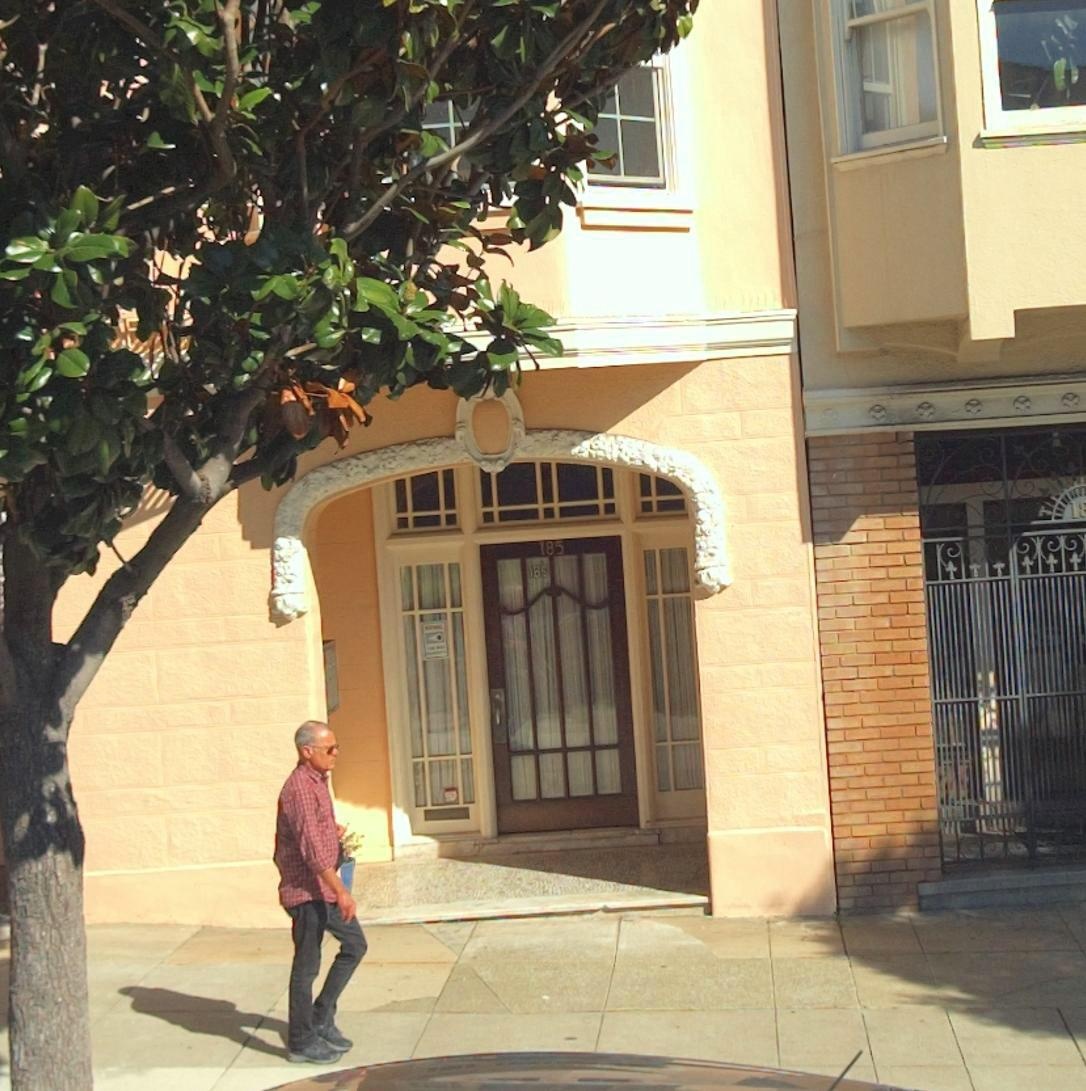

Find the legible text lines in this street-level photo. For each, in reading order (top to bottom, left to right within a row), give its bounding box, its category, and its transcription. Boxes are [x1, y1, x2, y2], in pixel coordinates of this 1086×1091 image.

[538, 539, 566, 557] StreetNumber: 185
[528, 563, 551, 581] StreetNumber: 185